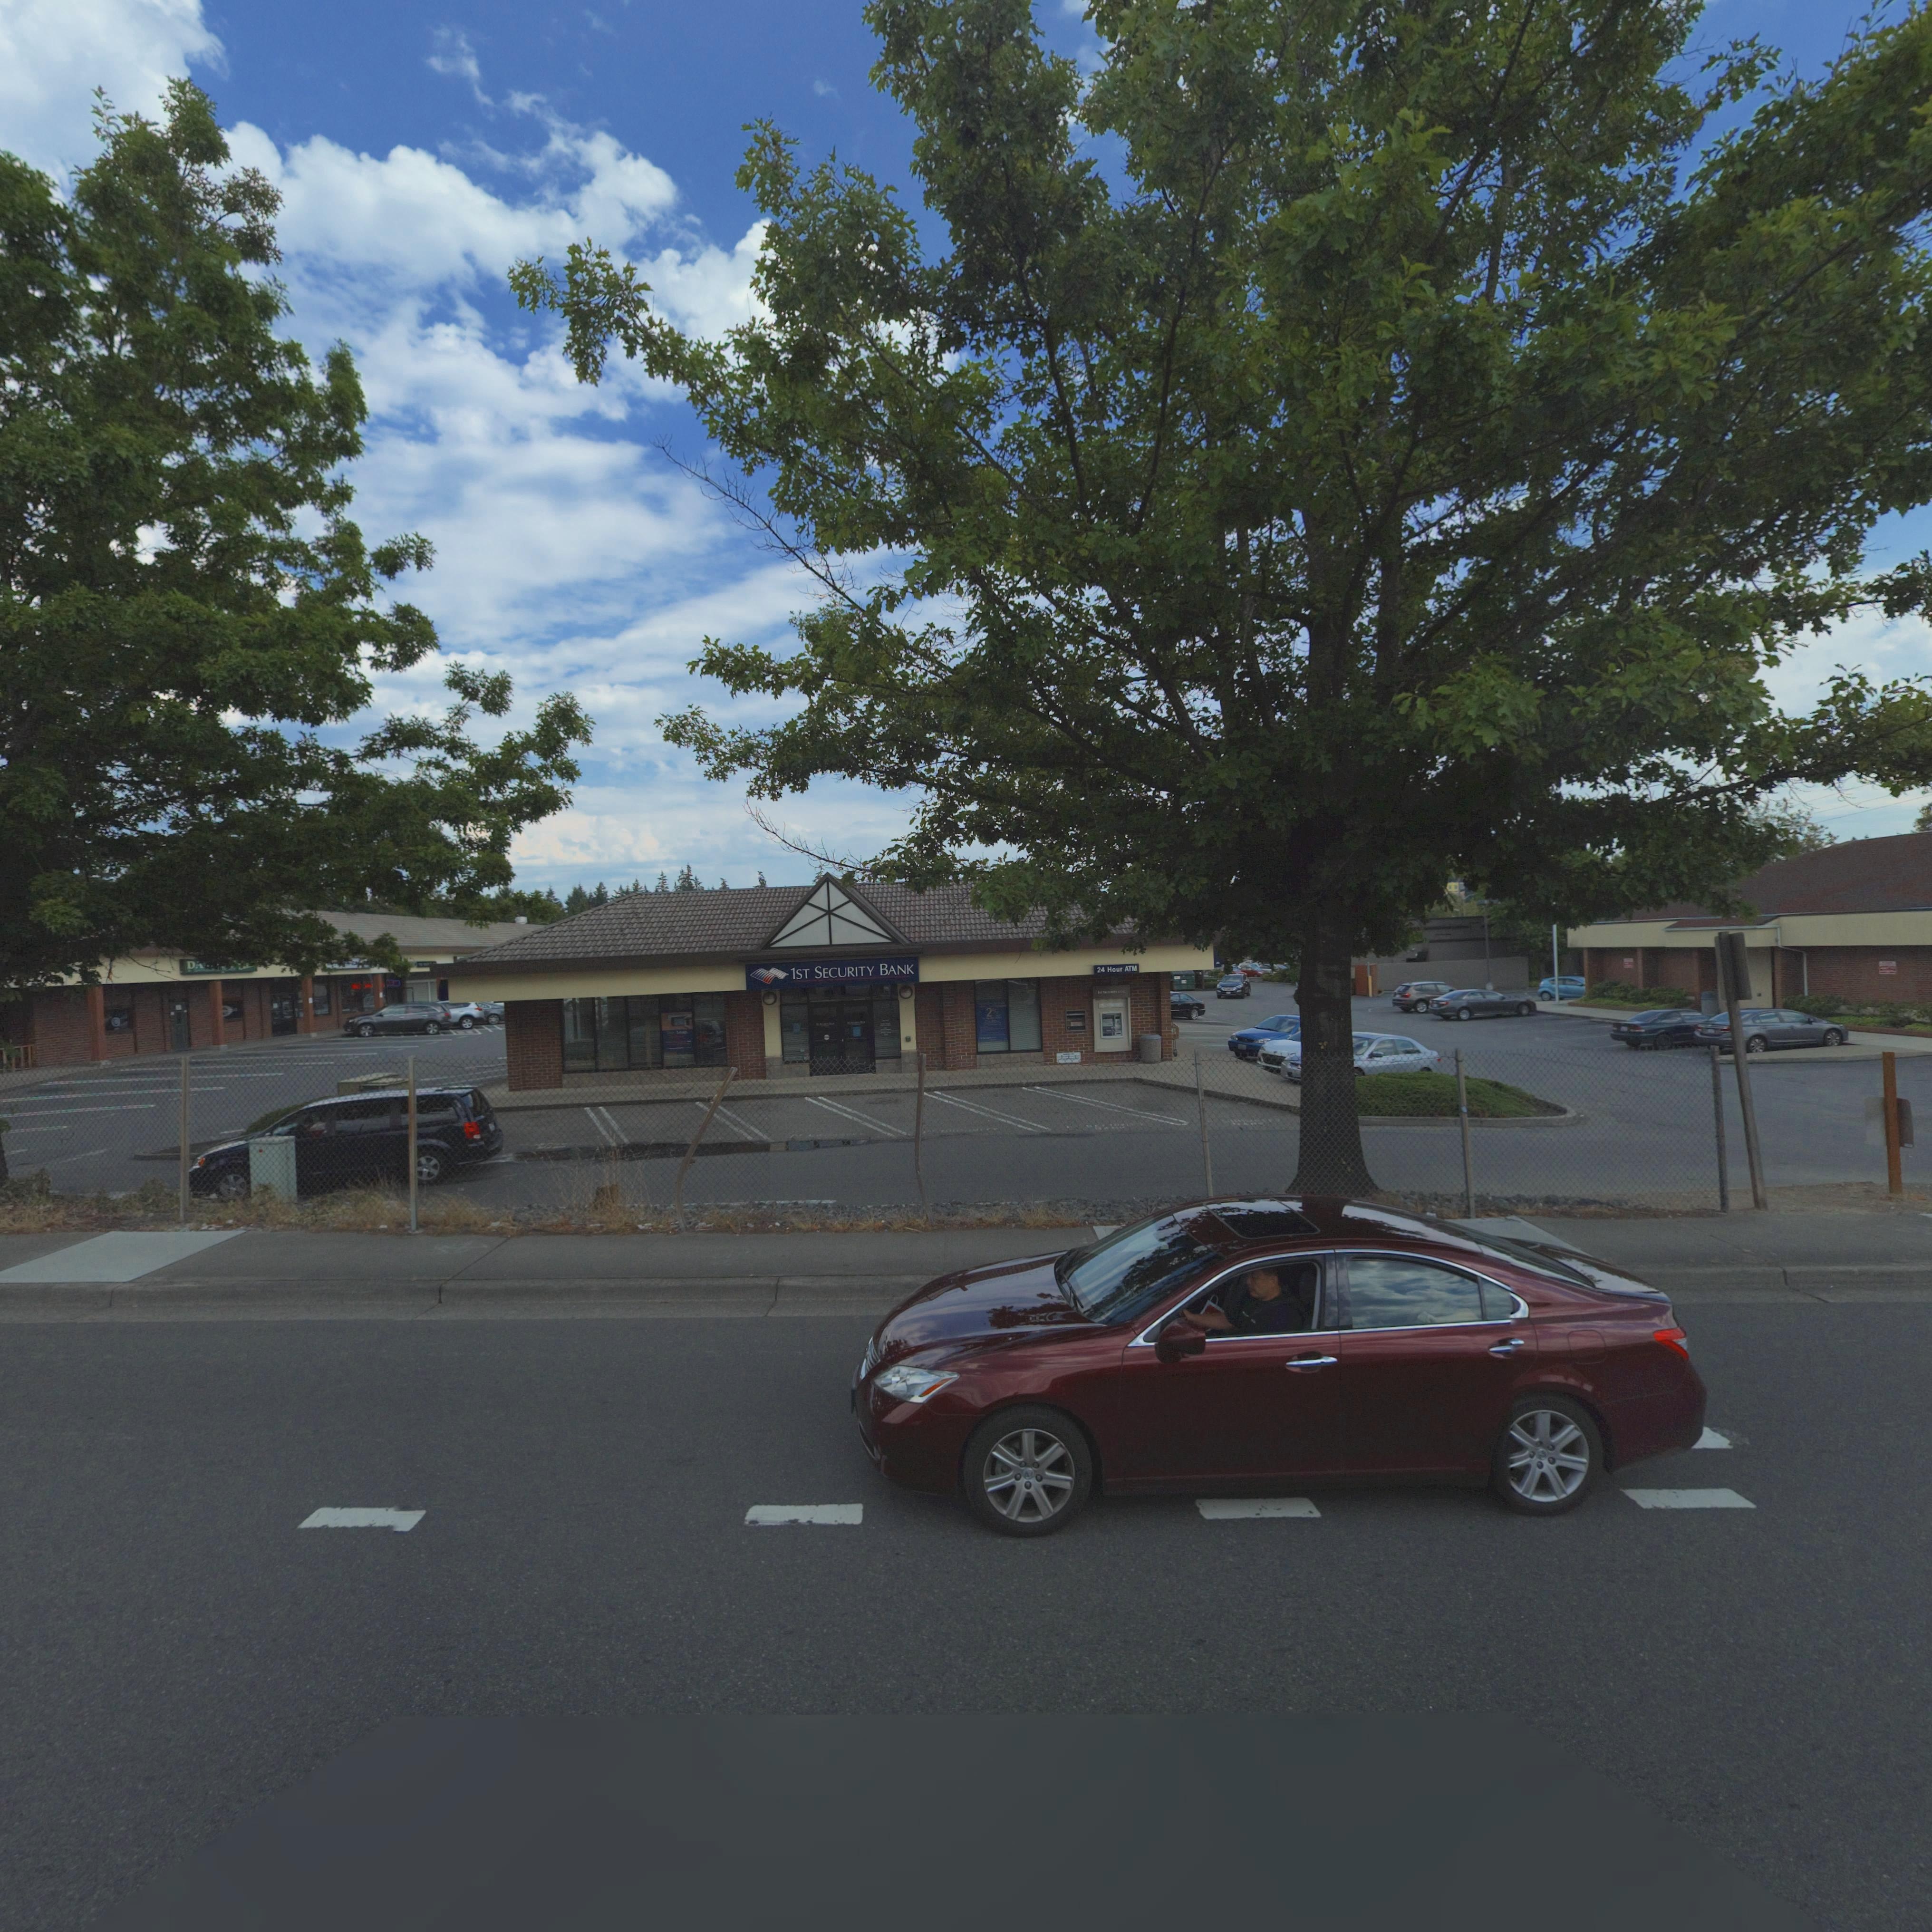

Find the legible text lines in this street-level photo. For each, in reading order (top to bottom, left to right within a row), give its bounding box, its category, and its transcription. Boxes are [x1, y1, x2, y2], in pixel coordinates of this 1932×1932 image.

[186, 959, 196, 969] BusinessName: D